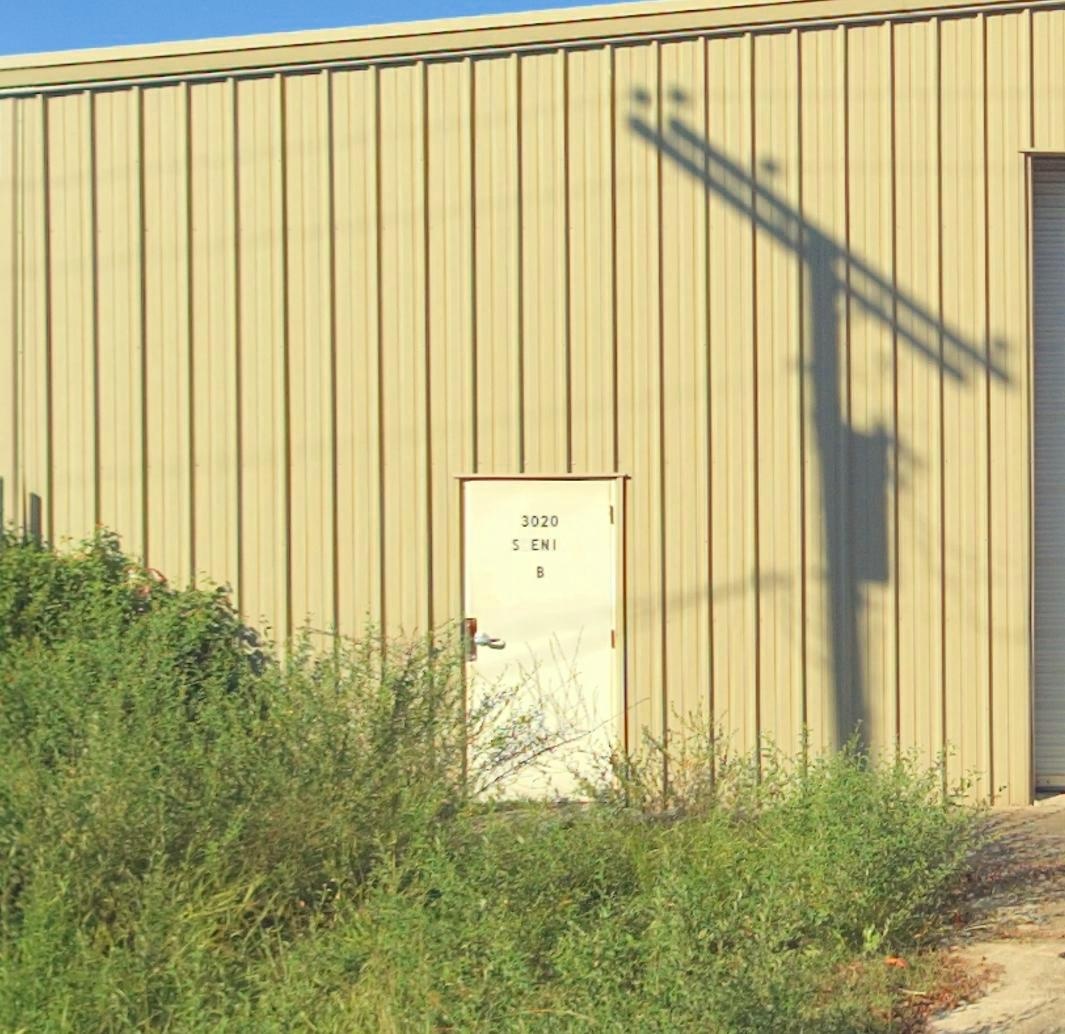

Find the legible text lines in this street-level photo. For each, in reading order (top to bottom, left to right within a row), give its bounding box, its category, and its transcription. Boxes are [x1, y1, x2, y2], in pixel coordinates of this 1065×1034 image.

[519, 512, 561, 529] StreetNumber: 3020
[509, 536, 521, 552] None: S
[529, 536, 560, 553] None: ENI
[534, 563, 547, 580] StreetNumber: B